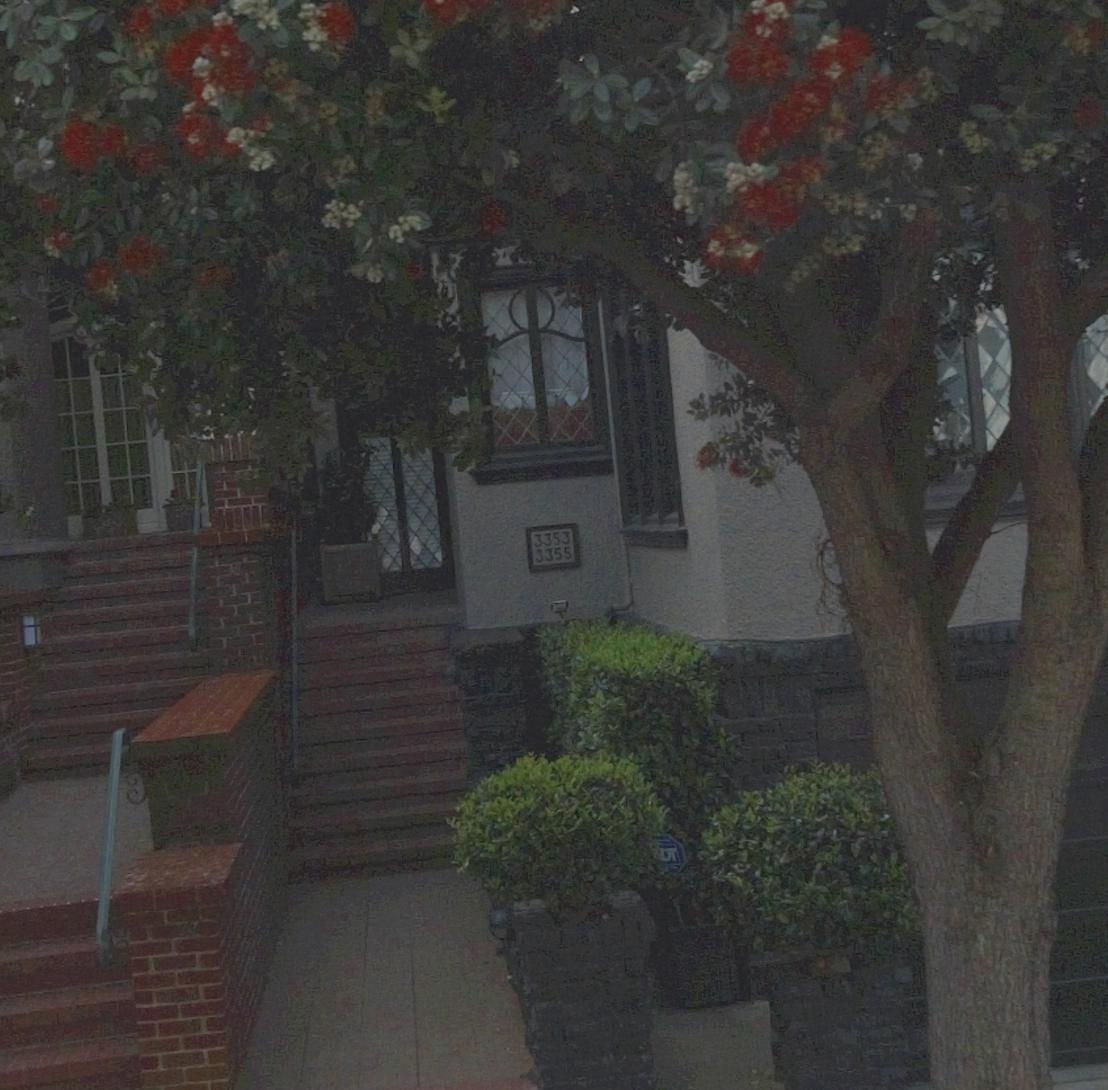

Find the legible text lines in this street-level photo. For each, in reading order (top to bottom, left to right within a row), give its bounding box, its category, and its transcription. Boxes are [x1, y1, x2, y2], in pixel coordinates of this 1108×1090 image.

[532, 528, 573, 549] StreetNumber: 3353
[533, 543, 575, 566] StreetNumber: 3355
[658, 845, 680, 864] None: DT